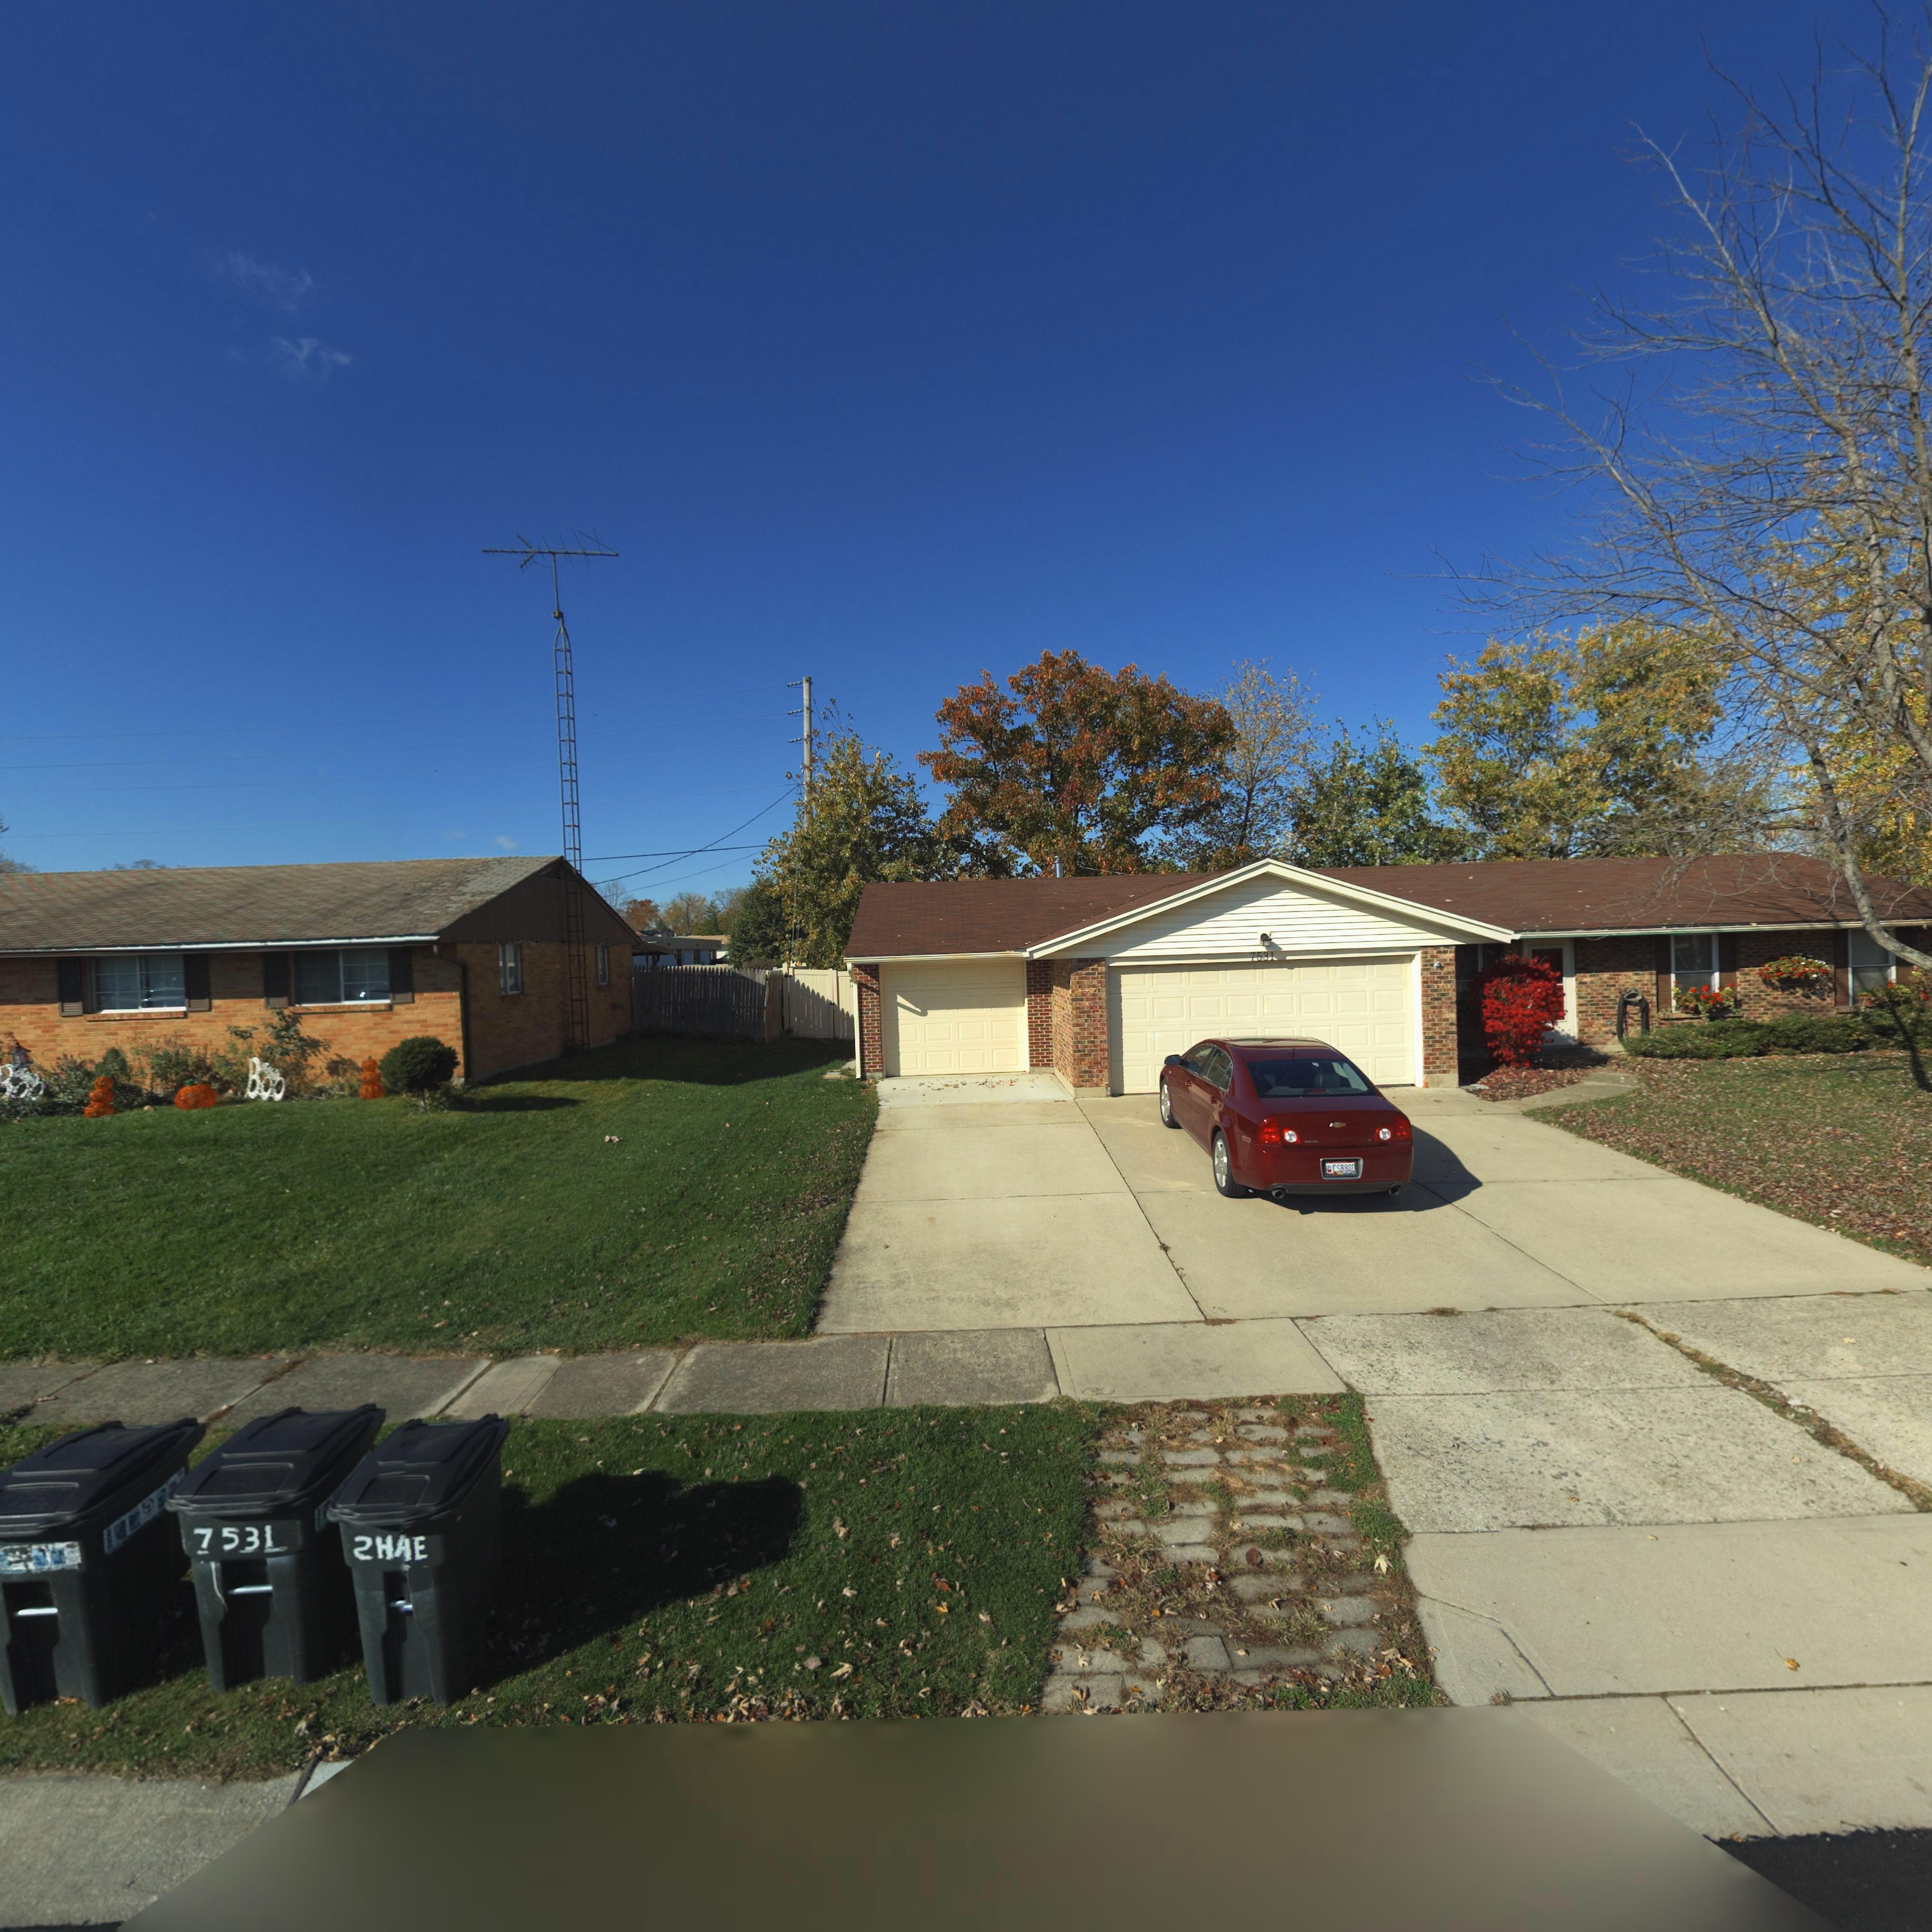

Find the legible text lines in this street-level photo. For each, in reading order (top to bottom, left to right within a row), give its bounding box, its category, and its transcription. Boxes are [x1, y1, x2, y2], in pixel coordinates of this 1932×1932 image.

[1249, 951, 1275, 962] StreetNumber: 7531
[191, 1523, 275, 1553] StreetNumber: 7531